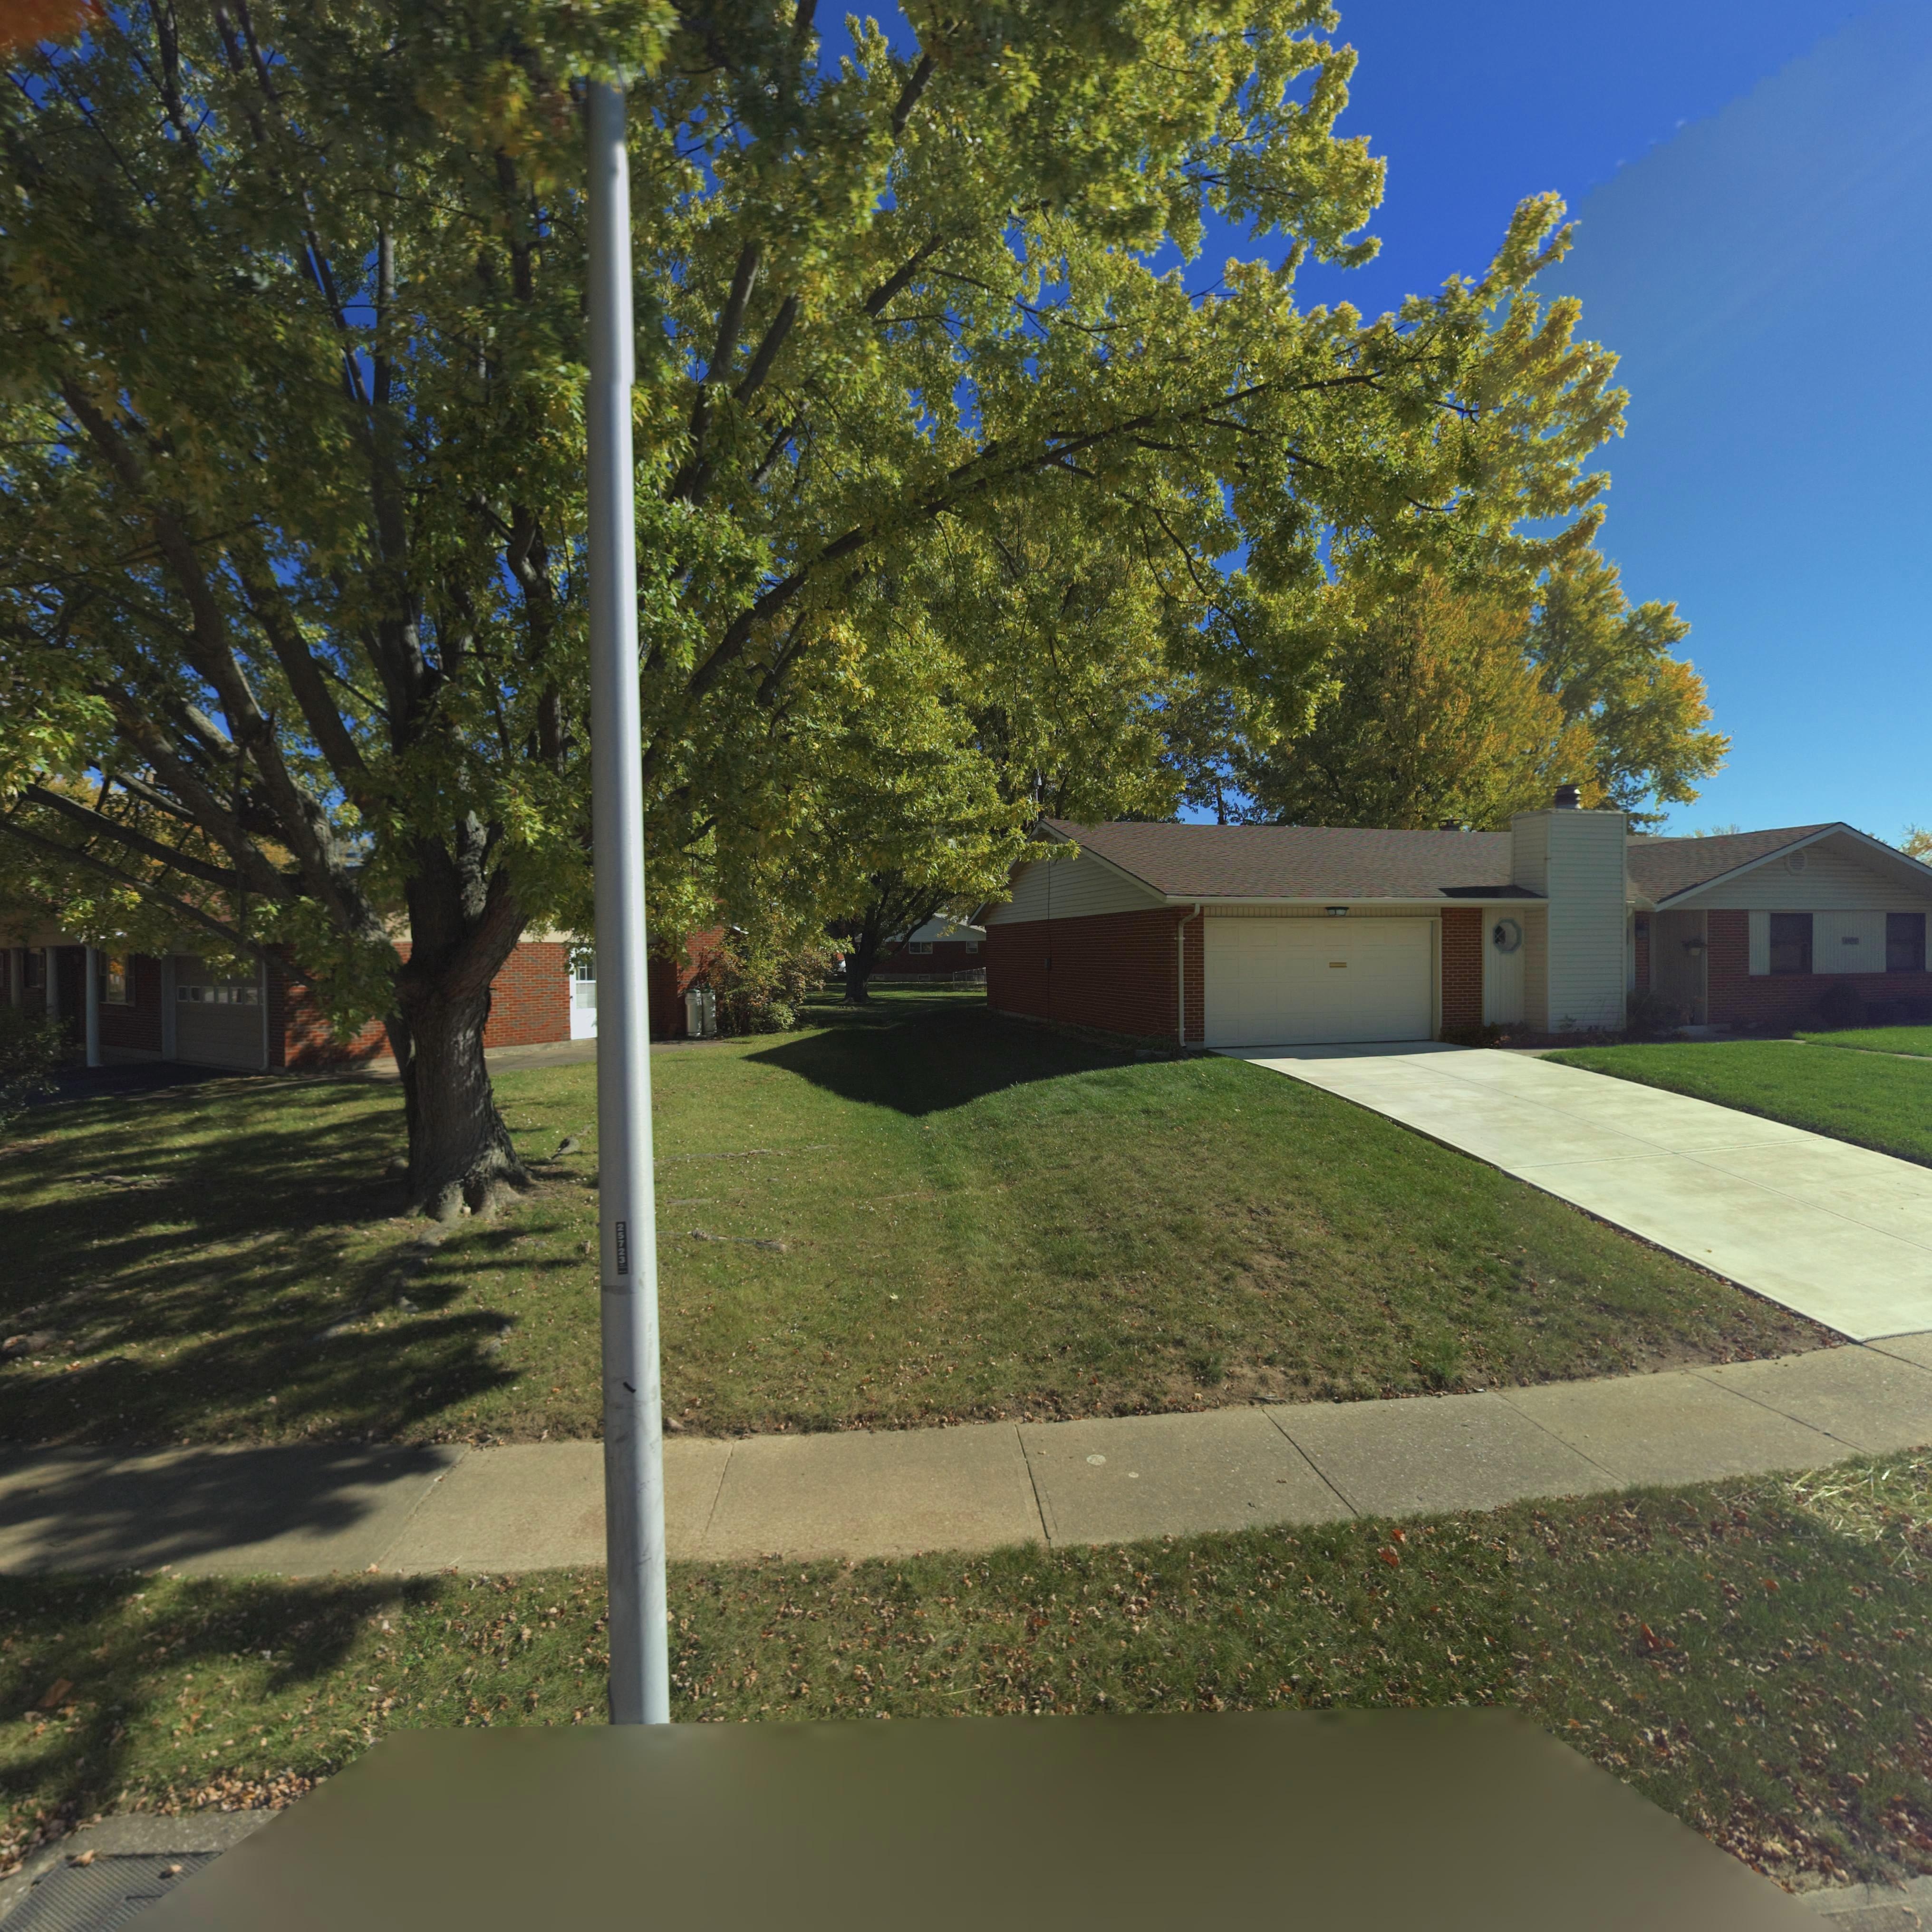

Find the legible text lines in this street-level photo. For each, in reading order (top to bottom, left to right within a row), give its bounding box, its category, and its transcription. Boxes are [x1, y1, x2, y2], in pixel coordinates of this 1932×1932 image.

[1841, 937, 1860, 945] StreetNumber: 1008